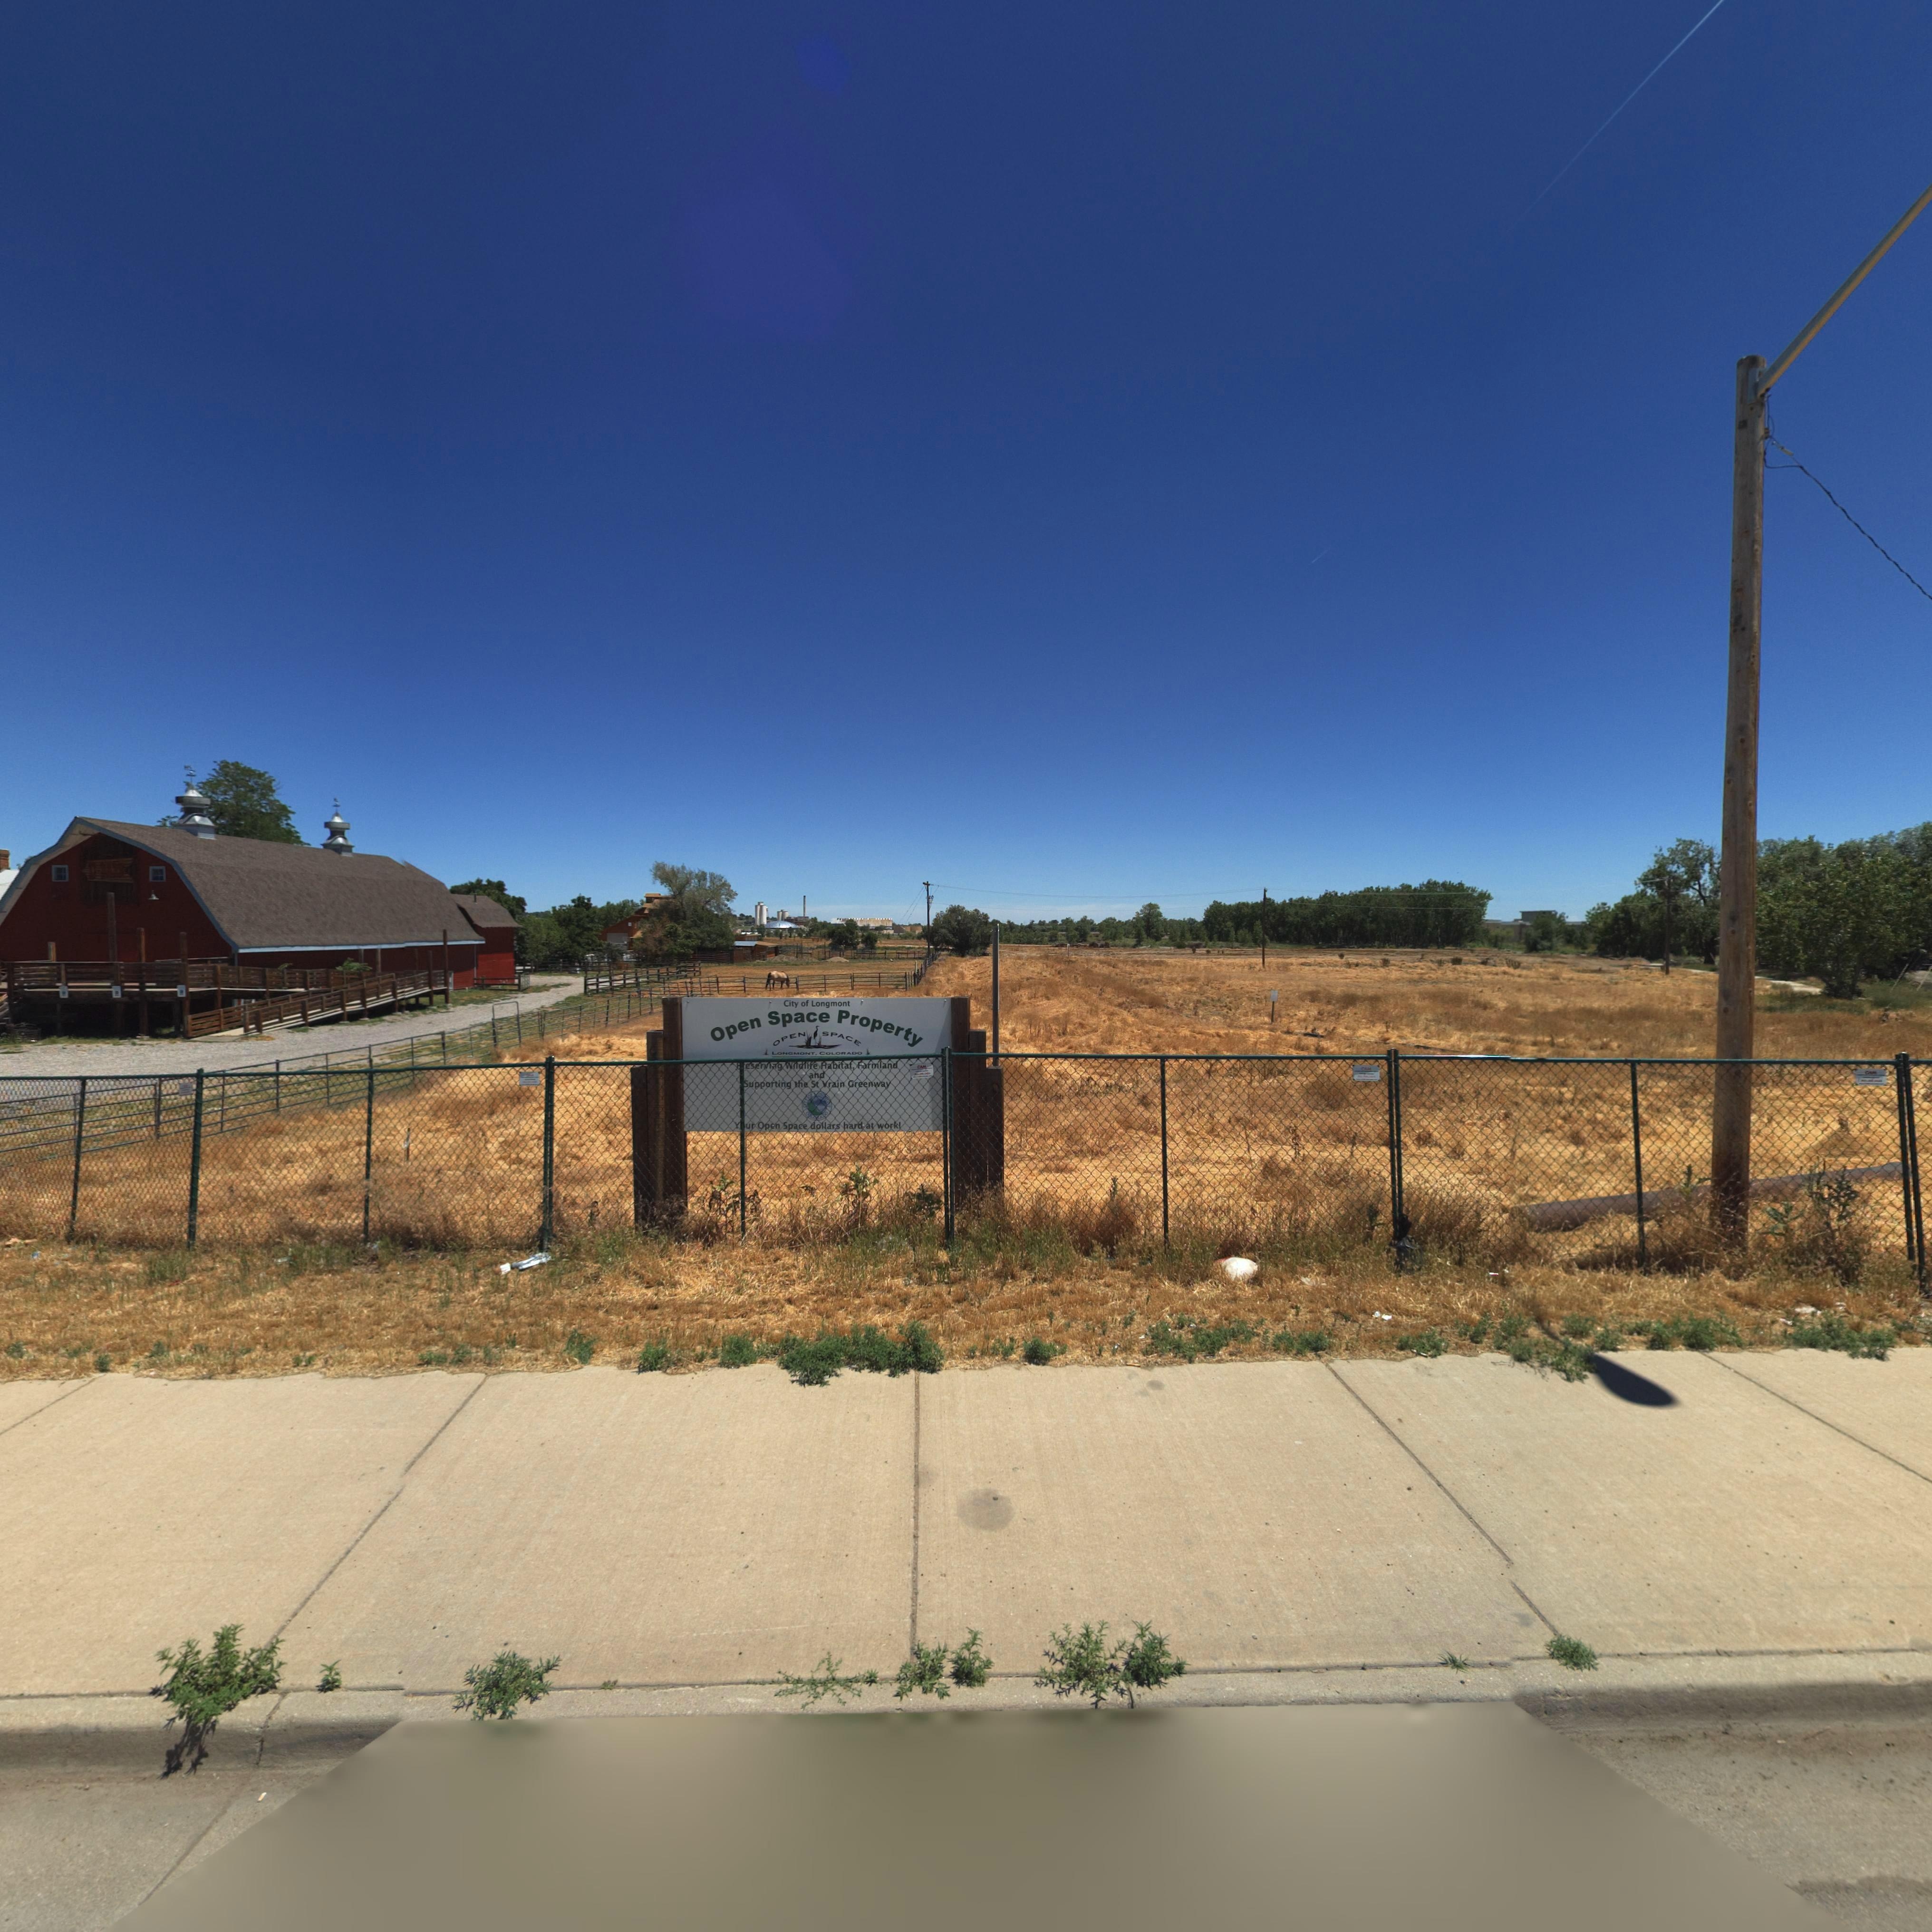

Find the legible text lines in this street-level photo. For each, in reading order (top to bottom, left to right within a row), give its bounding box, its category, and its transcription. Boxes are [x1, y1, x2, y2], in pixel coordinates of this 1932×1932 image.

[87, 860, 127, 880] BusinessName: D***